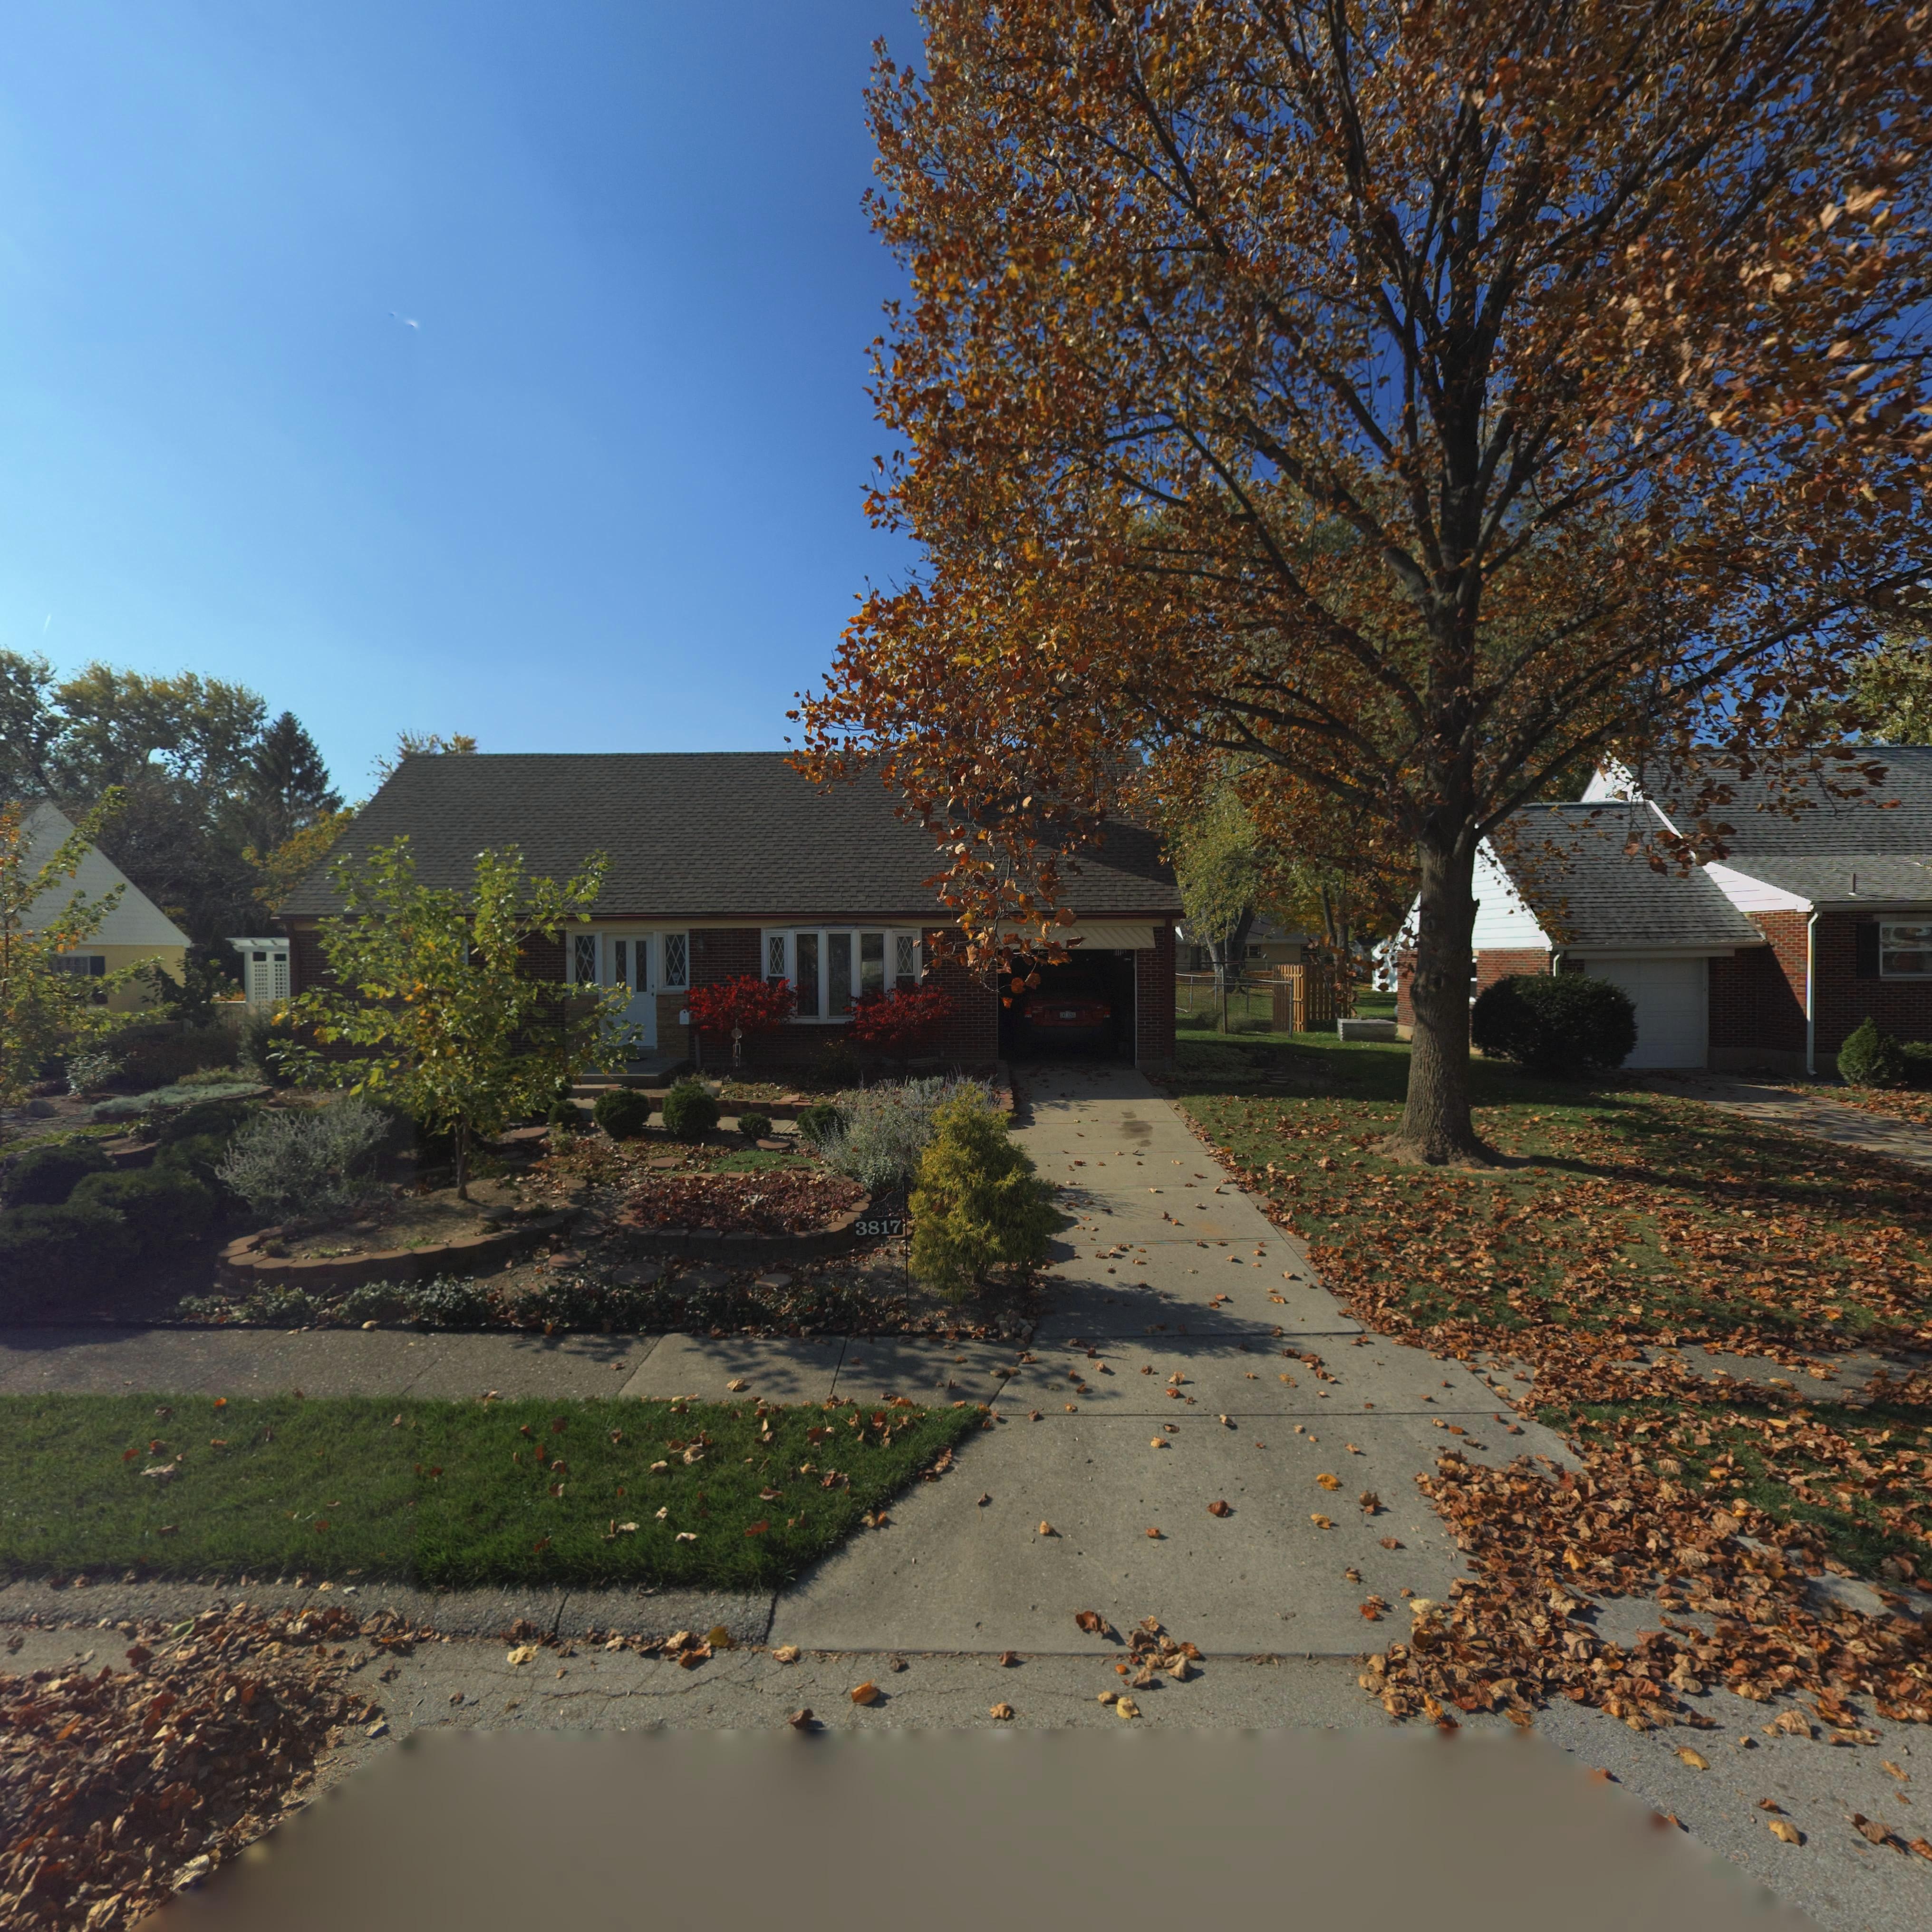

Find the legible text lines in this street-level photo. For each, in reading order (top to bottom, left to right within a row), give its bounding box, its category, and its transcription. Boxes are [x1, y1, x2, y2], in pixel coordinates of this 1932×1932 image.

[1060, 1012, 1076, 1018] None: EW*726*
[855, 1219, 902, 1236] StreetNumber: 3817